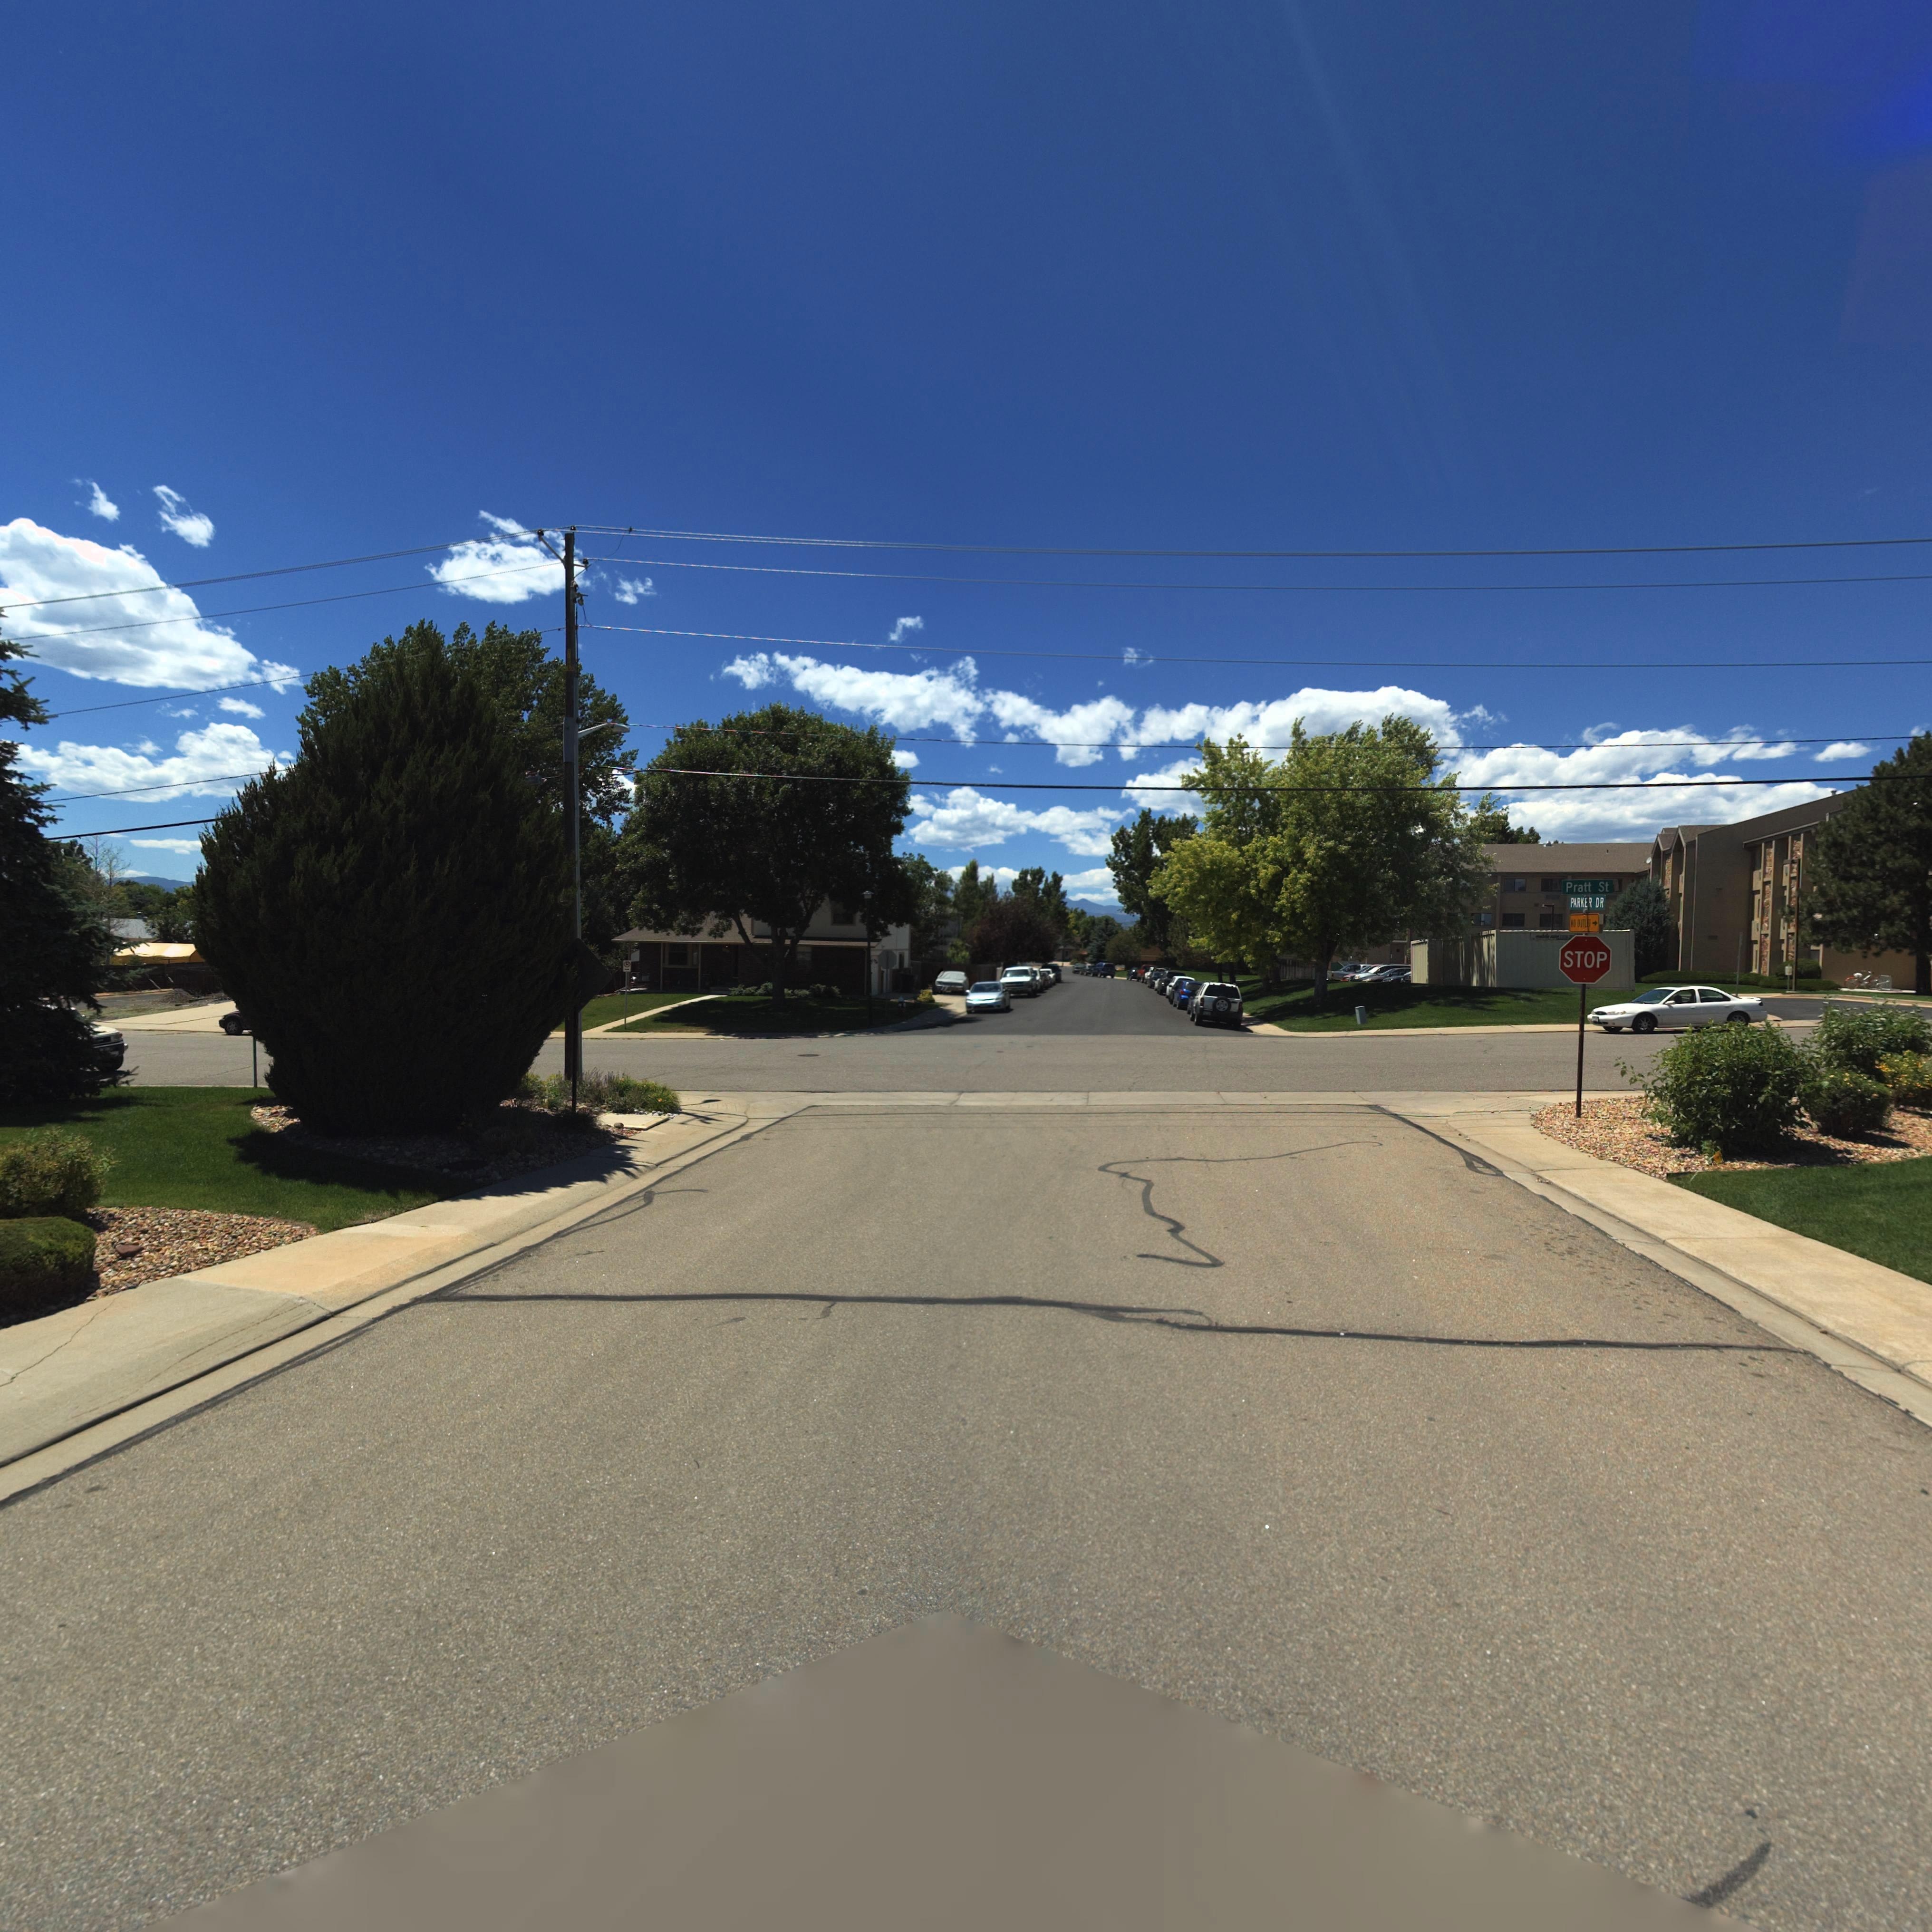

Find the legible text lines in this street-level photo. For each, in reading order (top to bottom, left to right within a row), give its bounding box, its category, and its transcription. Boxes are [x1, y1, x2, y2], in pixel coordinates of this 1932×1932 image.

[1566, 881, 1609, 892] StreetName: Pratt St
[1570, 896, 1604, 908] StreetName: PARKER DR